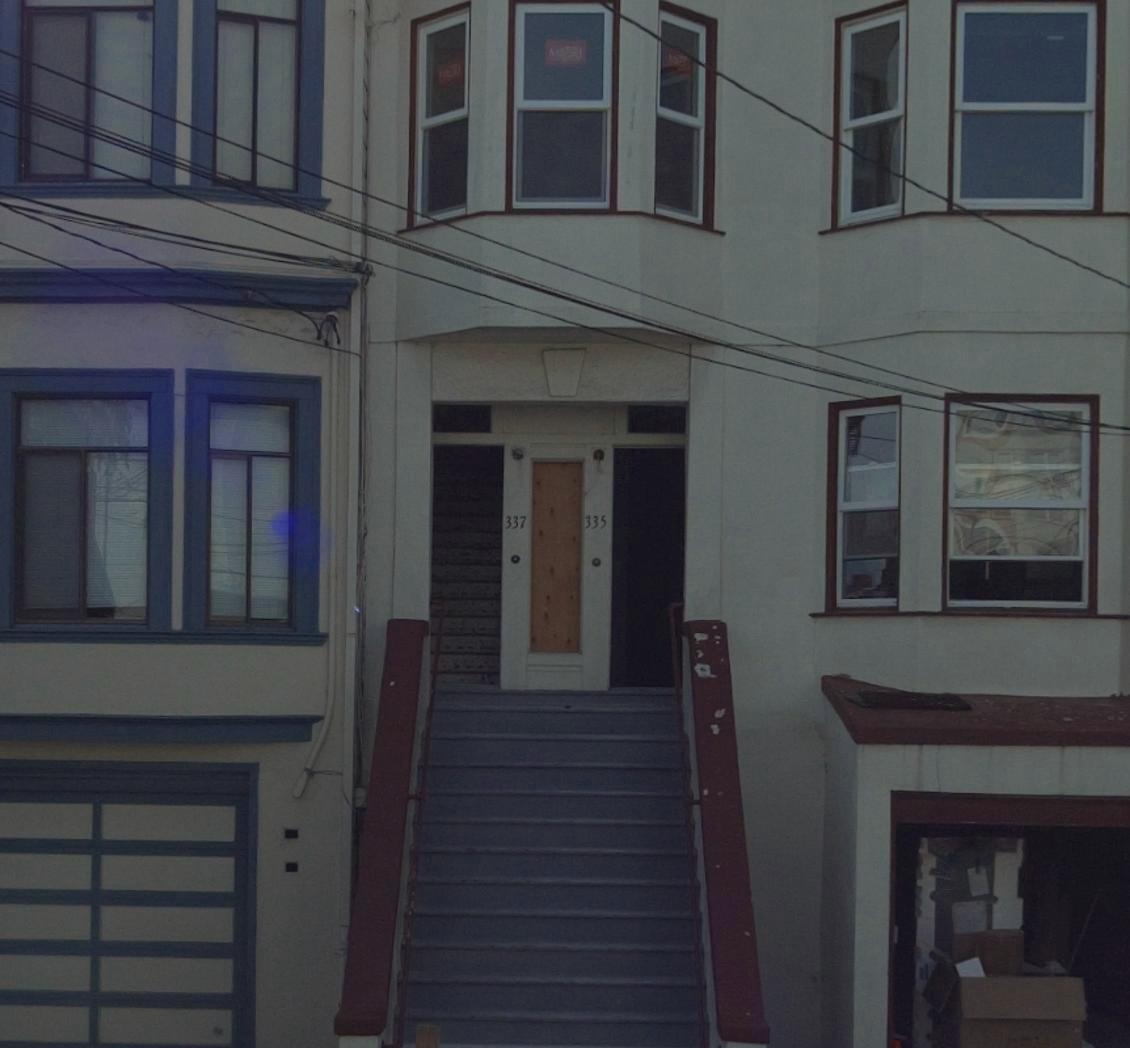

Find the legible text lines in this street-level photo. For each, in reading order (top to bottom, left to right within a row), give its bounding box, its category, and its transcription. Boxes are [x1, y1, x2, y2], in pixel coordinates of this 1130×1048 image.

[504, 515, 528, 531] StreetNumber: 337
[584, 514, 608, 531] StreetNumber: 335